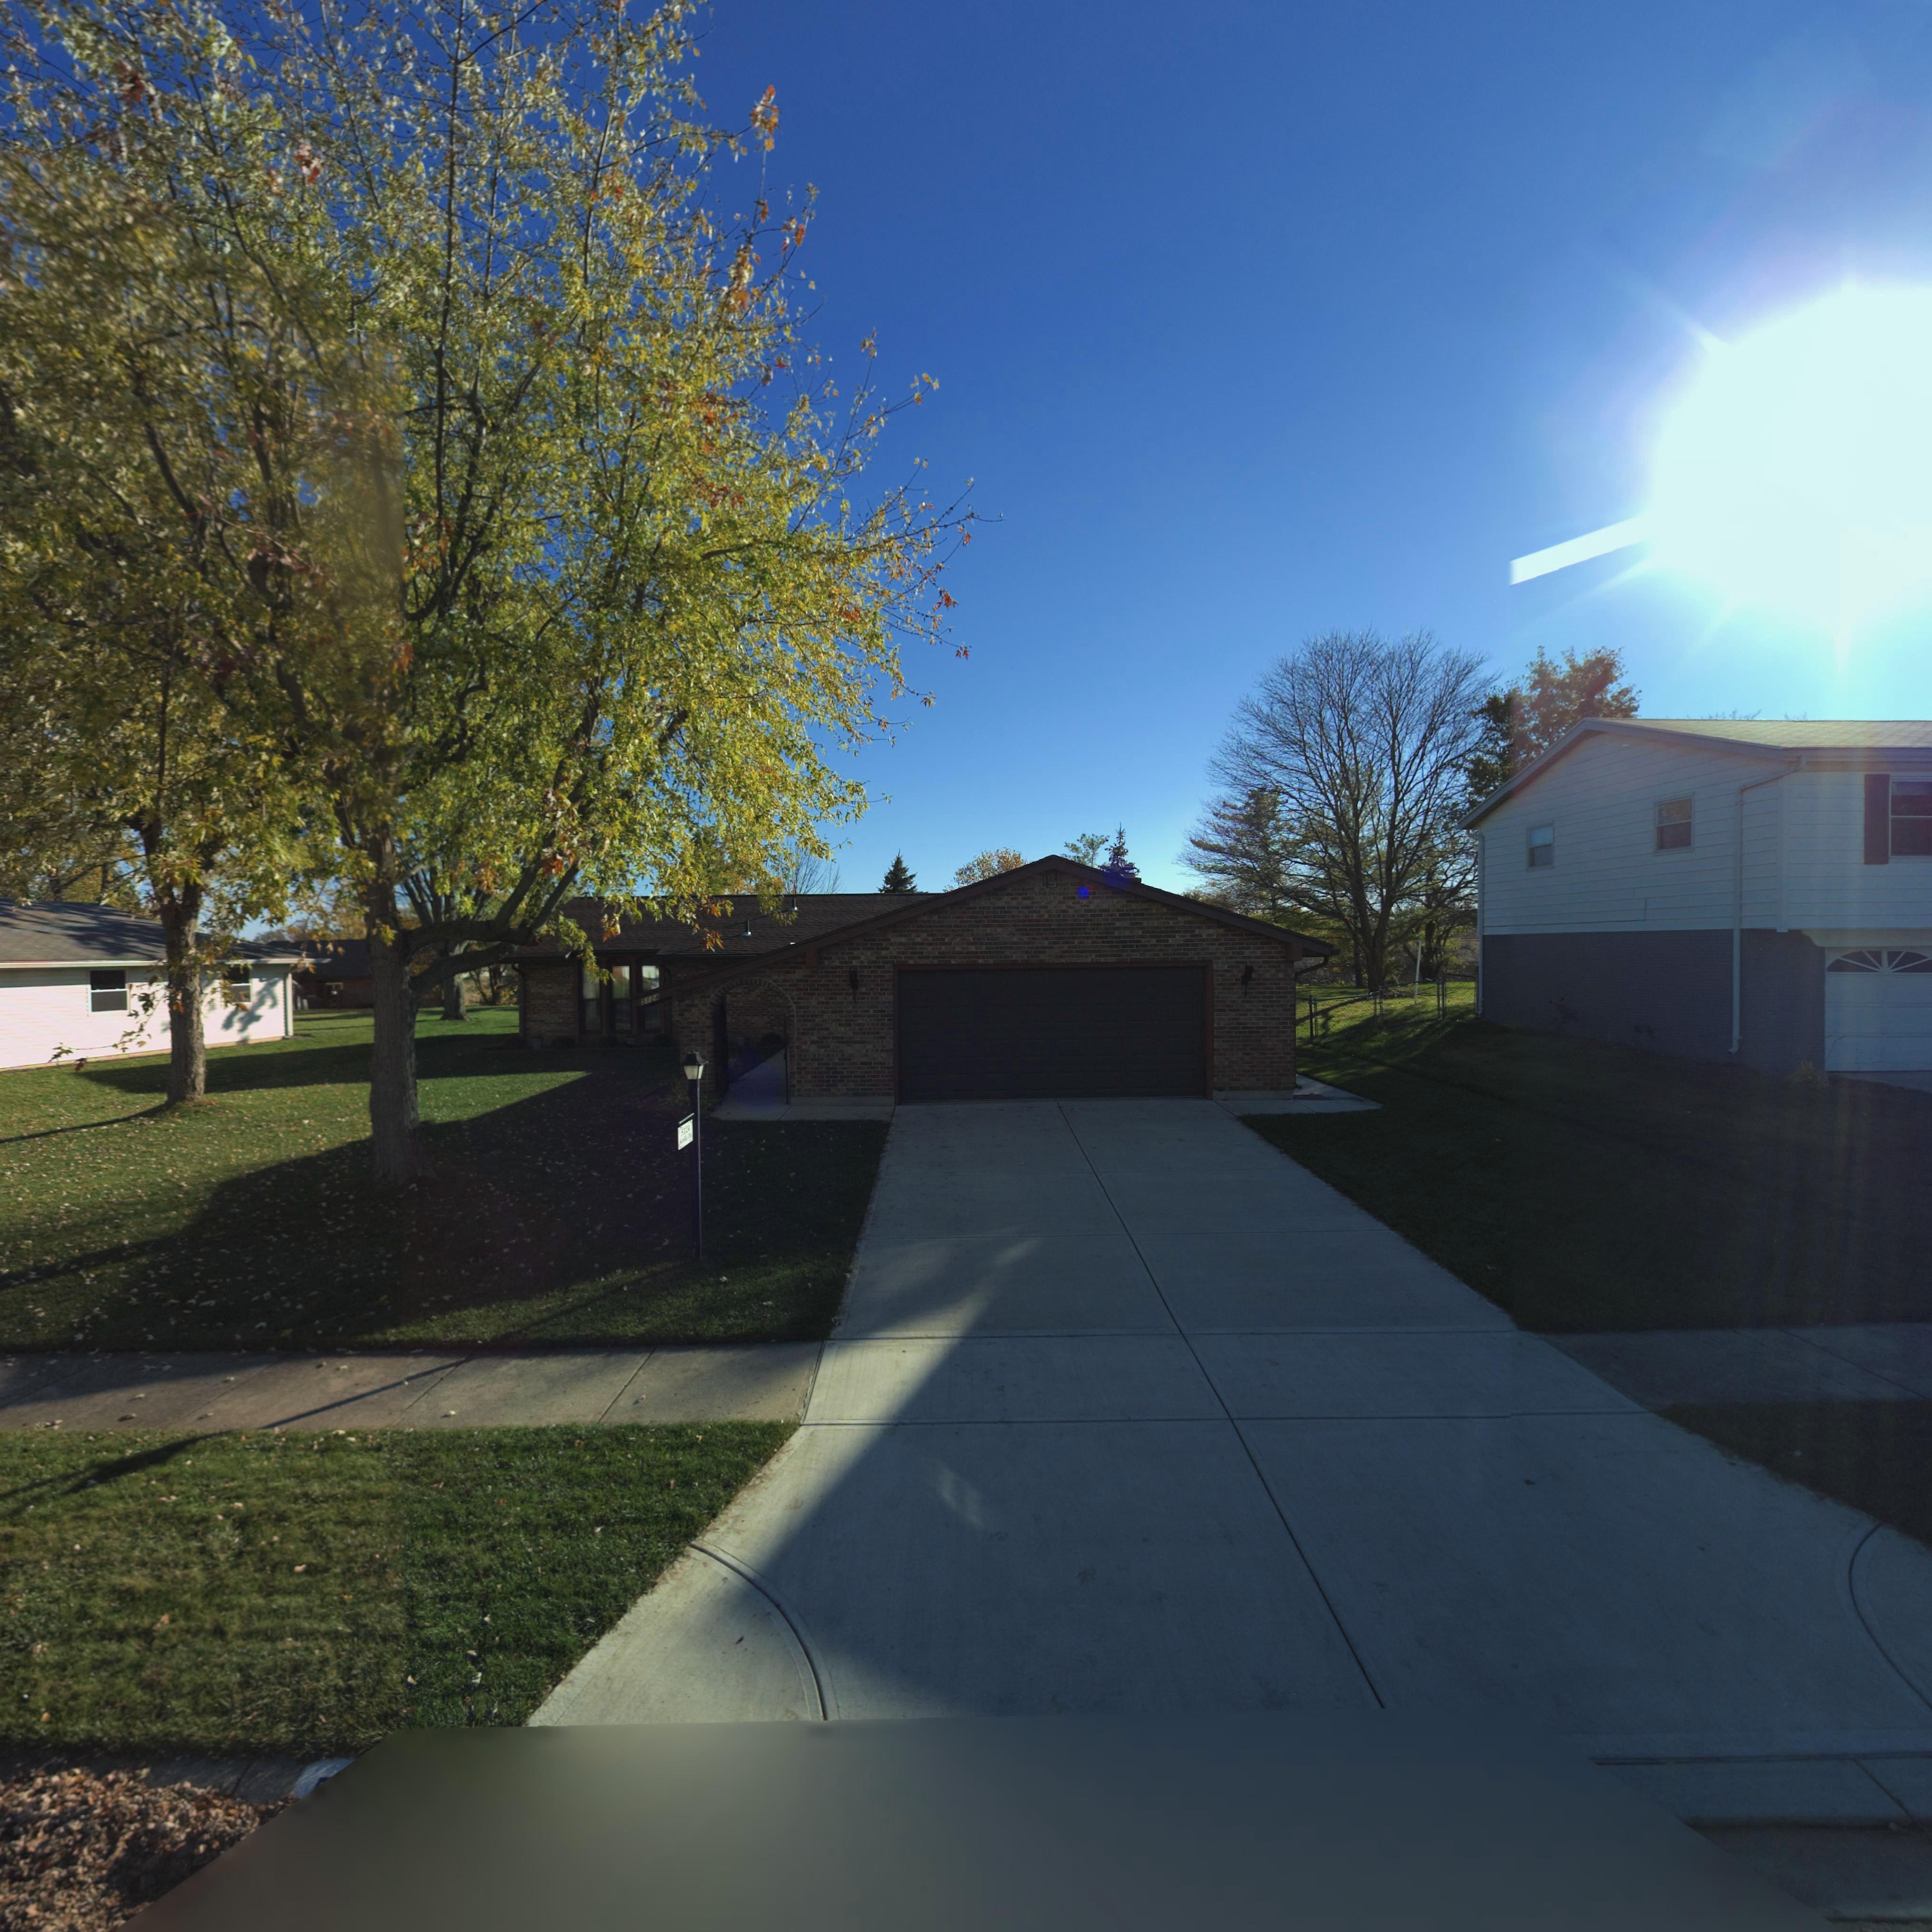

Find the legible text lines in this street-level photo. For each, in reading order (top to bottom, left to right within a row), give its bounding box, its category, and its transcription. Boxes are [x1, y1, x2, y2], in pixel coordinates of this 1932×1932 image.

[641, 993, 659, 1005] StreetNumber: 5124
[680, 1123, 690, 1138] StreetNumber: 5124